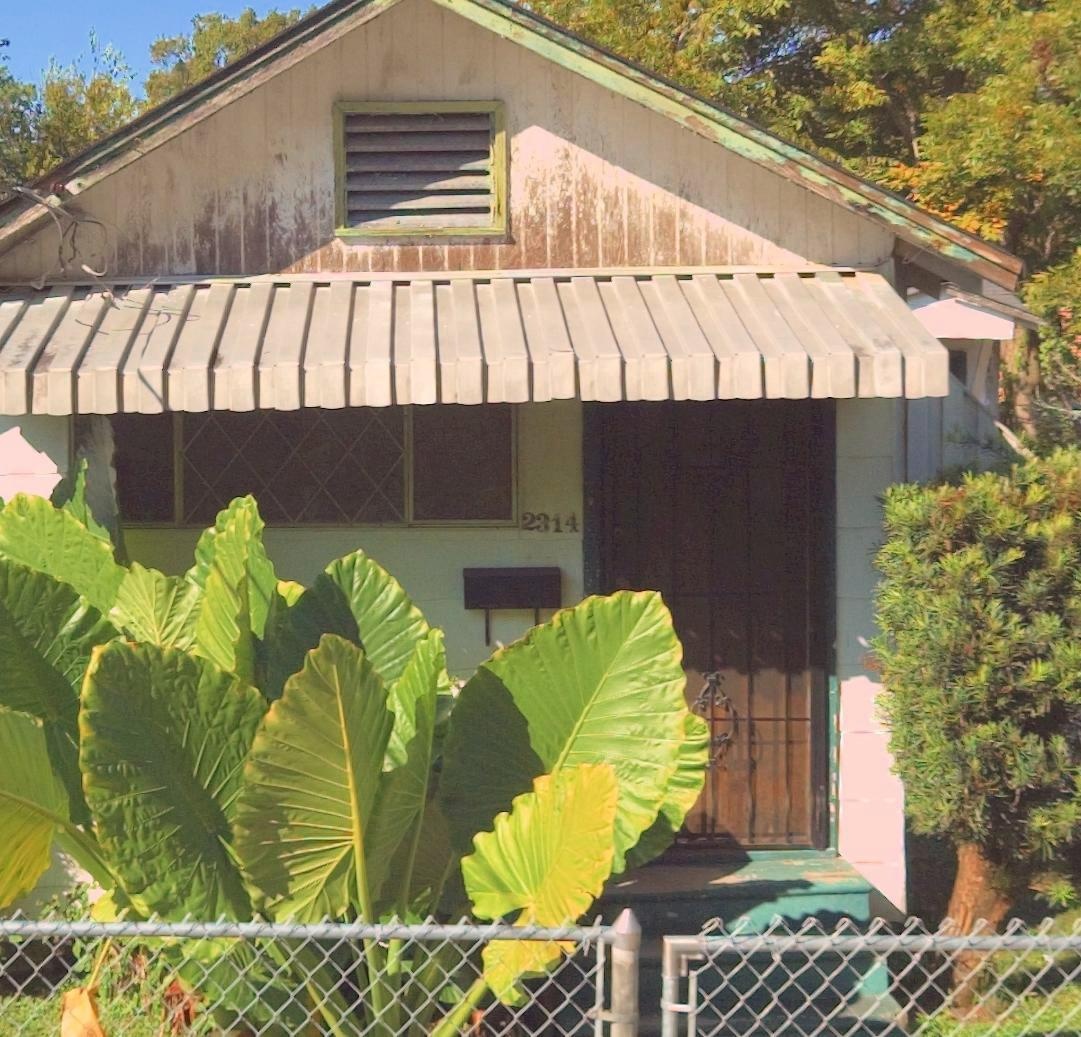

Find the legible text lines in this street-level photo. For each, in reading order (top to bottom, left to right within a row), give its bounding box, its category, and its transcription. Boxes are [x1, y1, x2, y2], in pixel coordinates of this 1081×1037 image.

[518, 508, 583, 537] StreetNumber: 2314